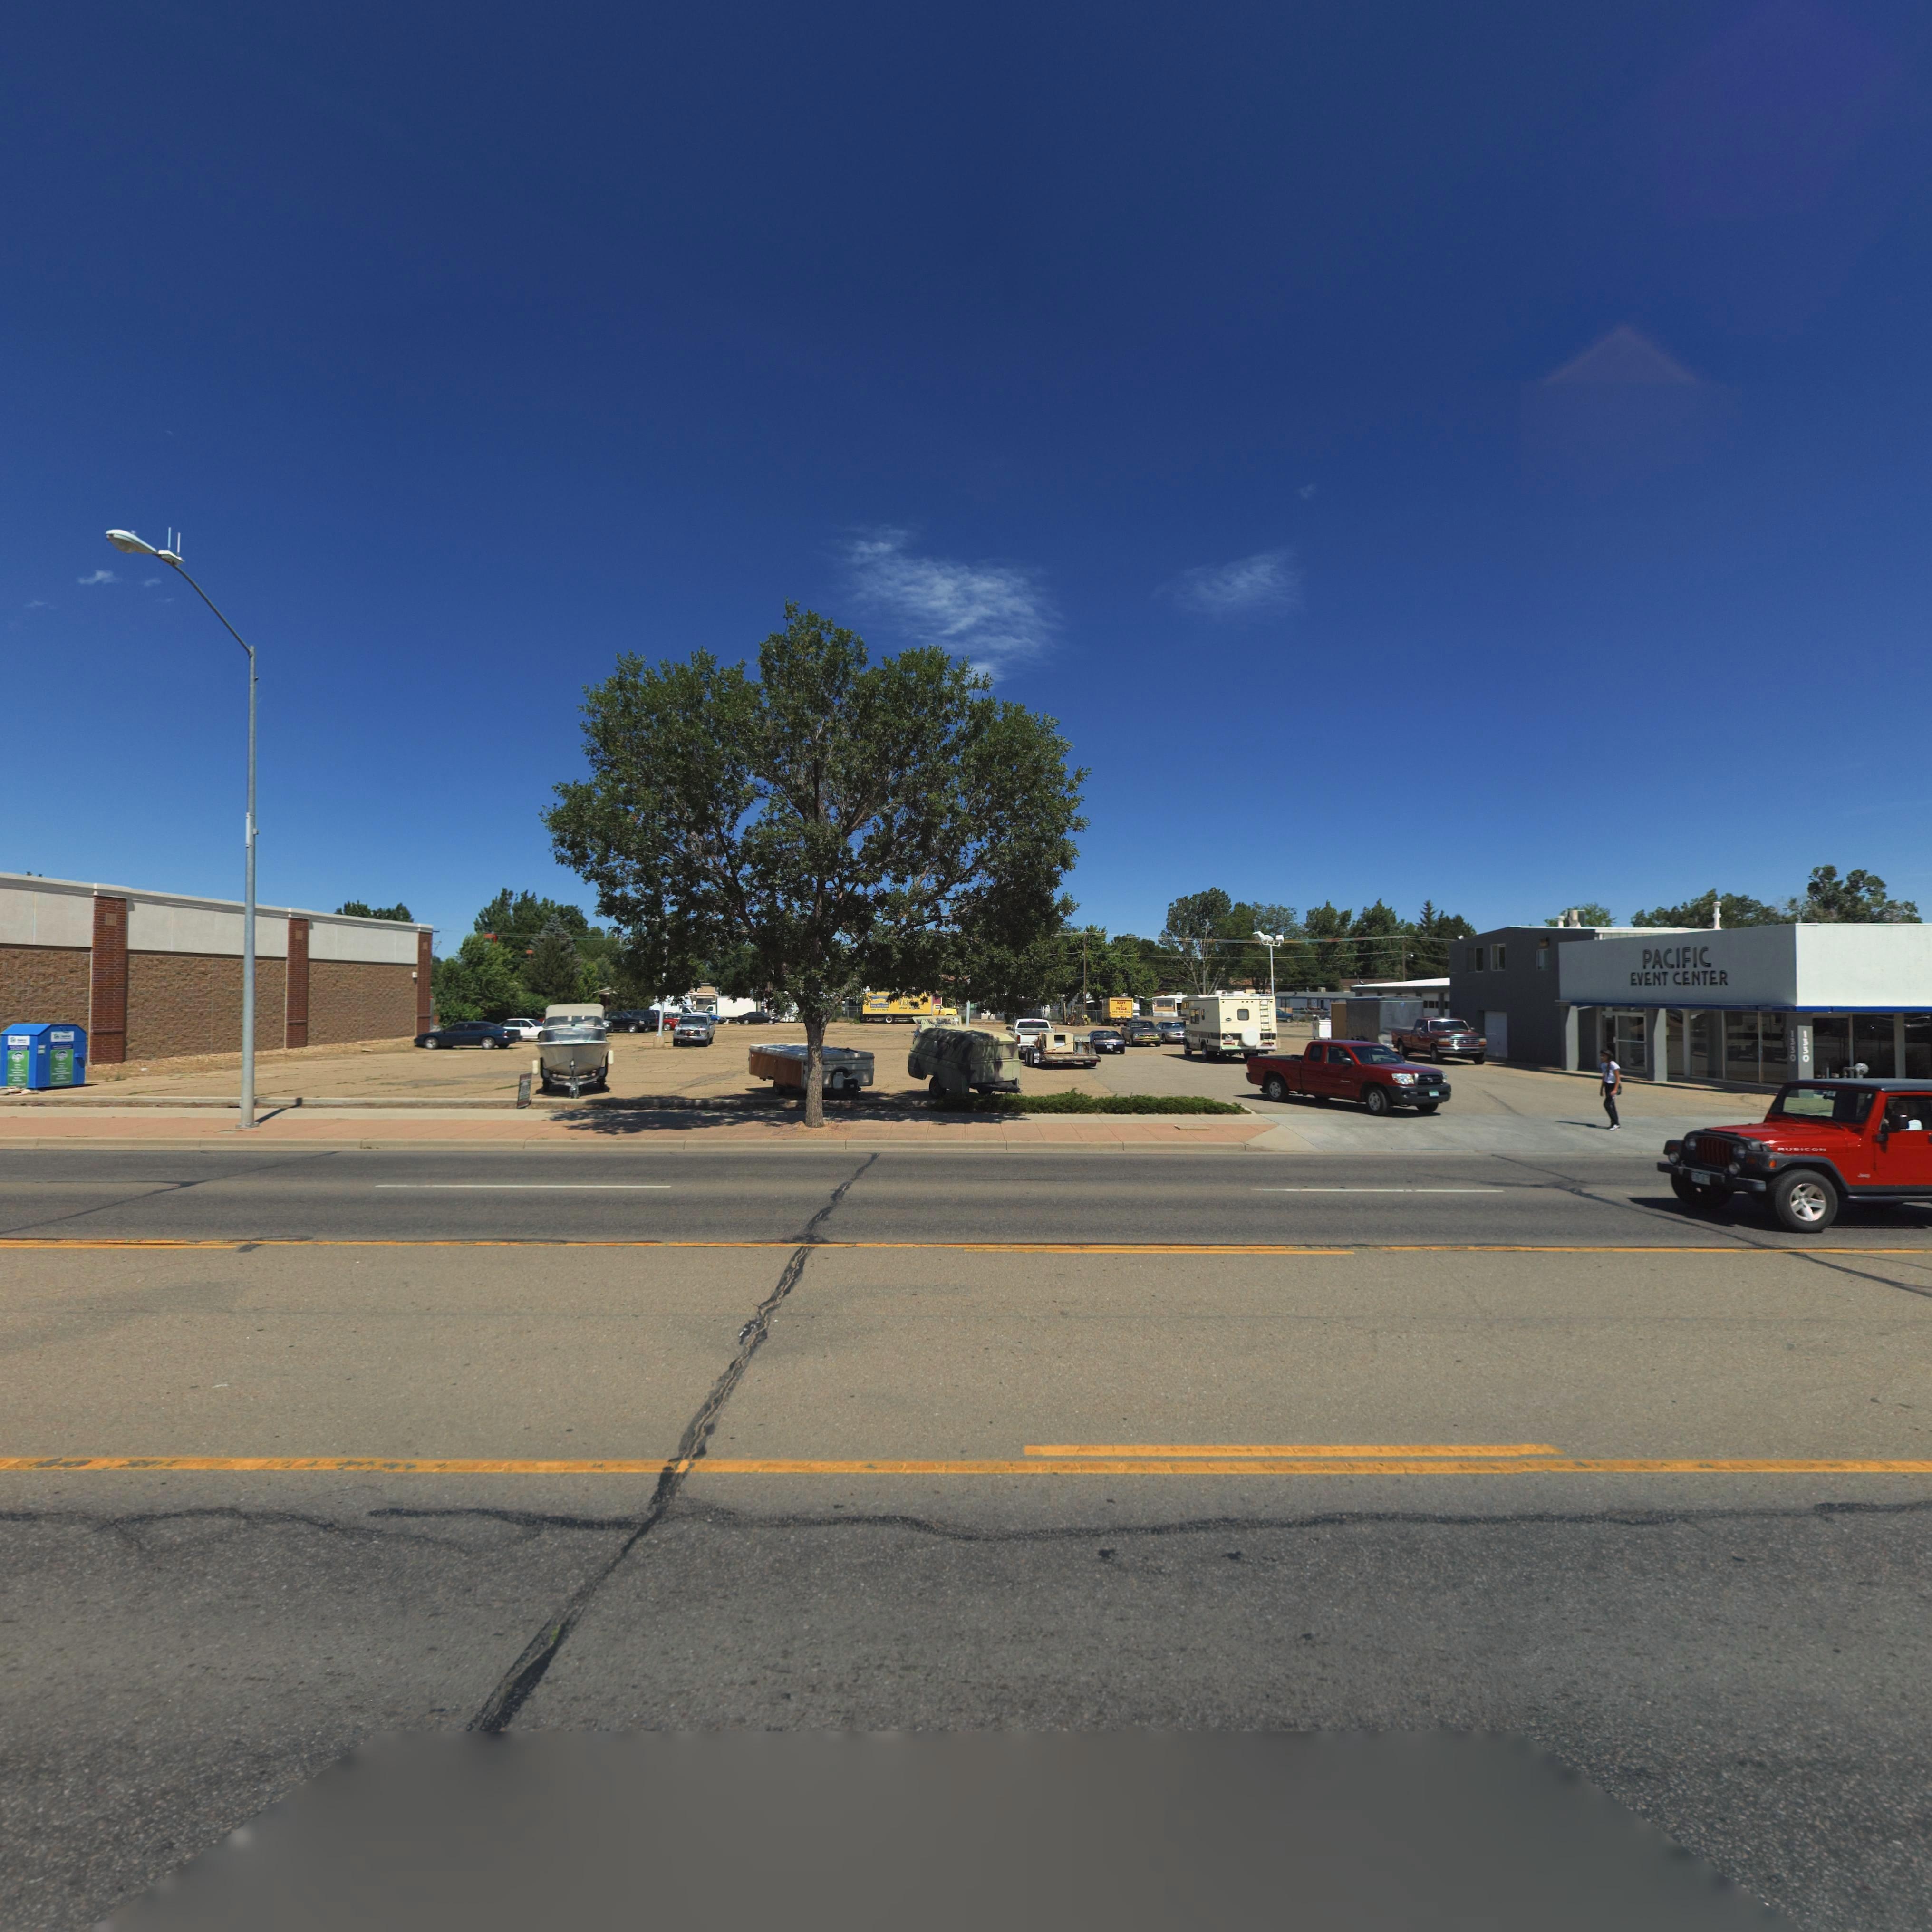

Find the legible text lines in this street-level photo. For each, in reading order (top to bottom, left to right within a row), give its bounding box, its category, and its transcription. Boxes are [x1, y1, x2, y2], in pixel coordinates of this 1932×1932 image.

[1641, 946, 1712, 969] BusinessName: PACIFIC
[1630, 970, 1728, 985] BusinessName: EVENT CENTER
[1789, 1030, 1796, 1062] StreetNumber: 1330
[1802, 1030, 1810, 1063] StreetNumber: 1330